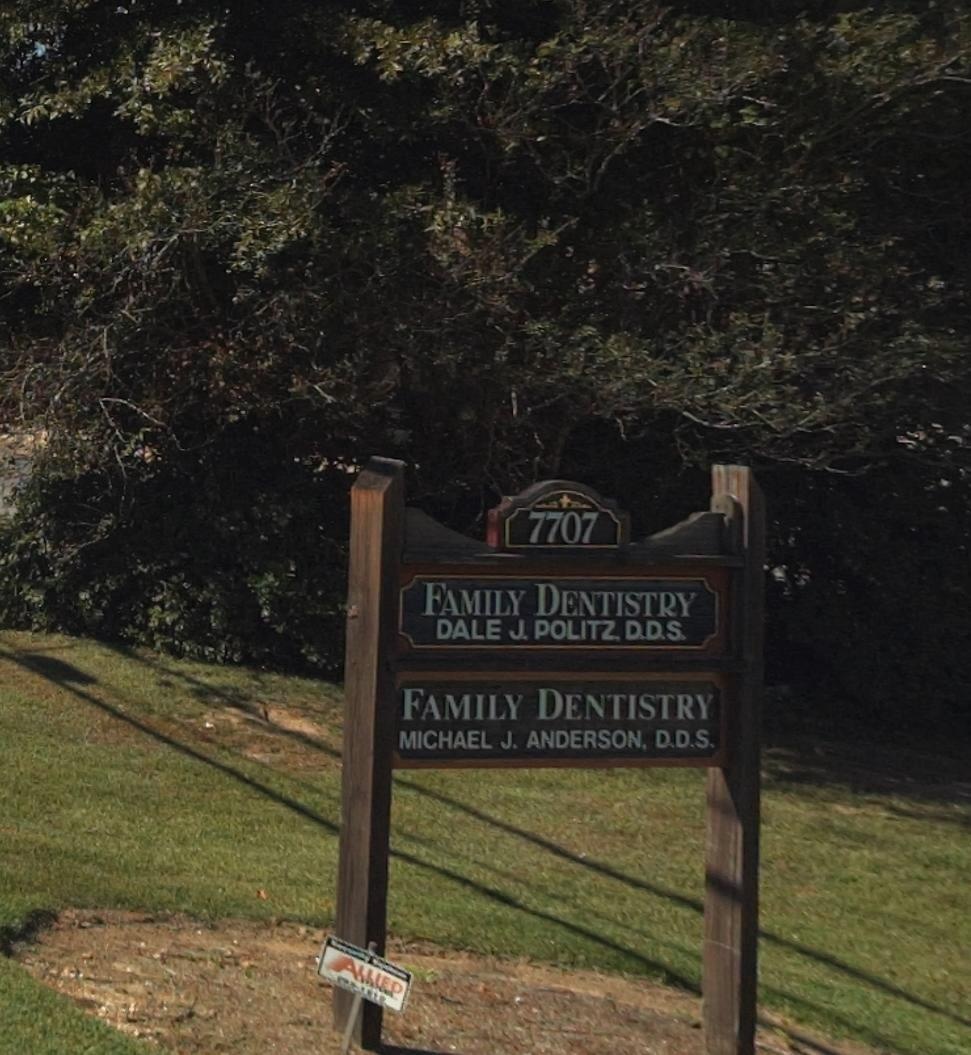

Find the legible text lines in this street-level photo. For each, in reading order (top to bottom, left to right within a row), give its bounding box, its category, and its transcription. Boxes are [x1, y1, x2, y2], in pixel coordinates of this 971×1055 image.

[527, 509, 603, 546] StreetNumber: 7707
[419, 580, 700, 621] BusinessName: FAMILY DENTISTRY
[432, 616, 689, 643] None: DALE J. POLITZ D.D.S.
[399, 684, 717, 723] BusinessName: FAMILY DENTISTRY
[396, 727, 717, 752] None: MICHAEL J. ANDERSON, D.D.S.
[329, 957, 407, 998] None: ALLIED